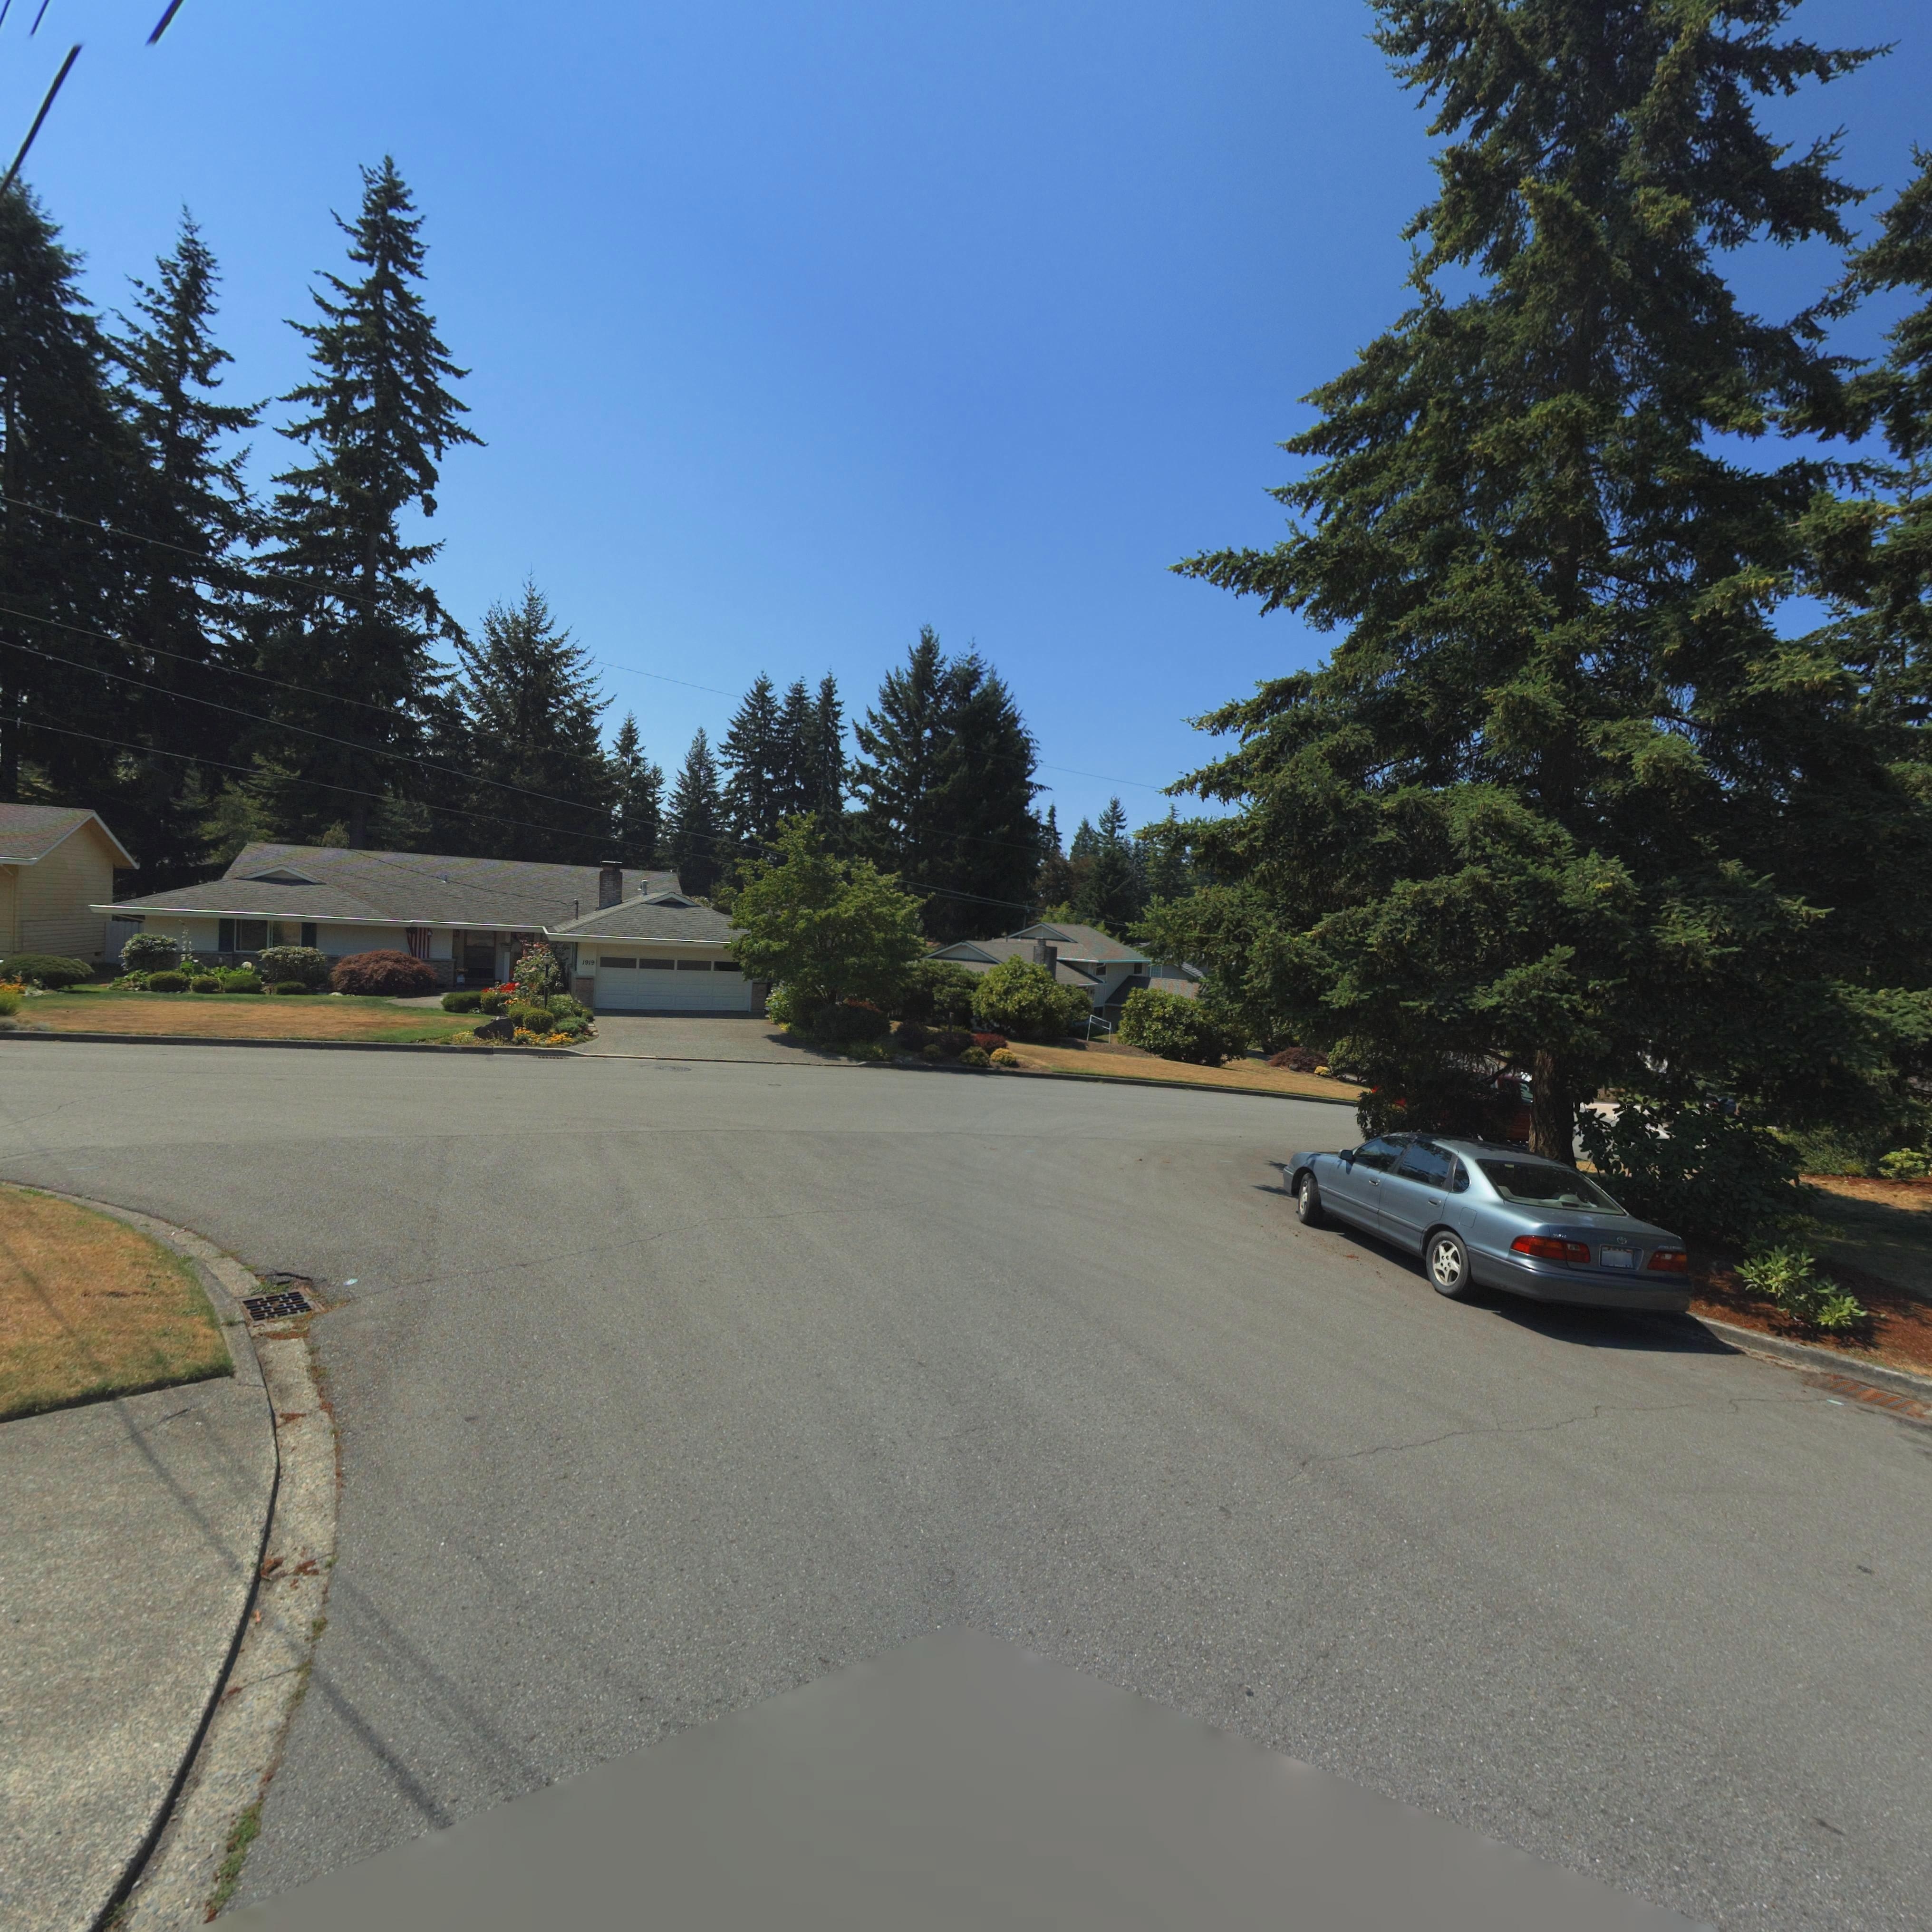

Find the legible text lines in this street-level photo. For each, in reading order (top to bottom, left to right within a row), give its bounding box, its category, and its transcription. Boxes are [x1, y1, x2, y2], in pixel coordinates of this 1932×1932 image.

[582, 959, 595, 965] StreetNumber: 1919